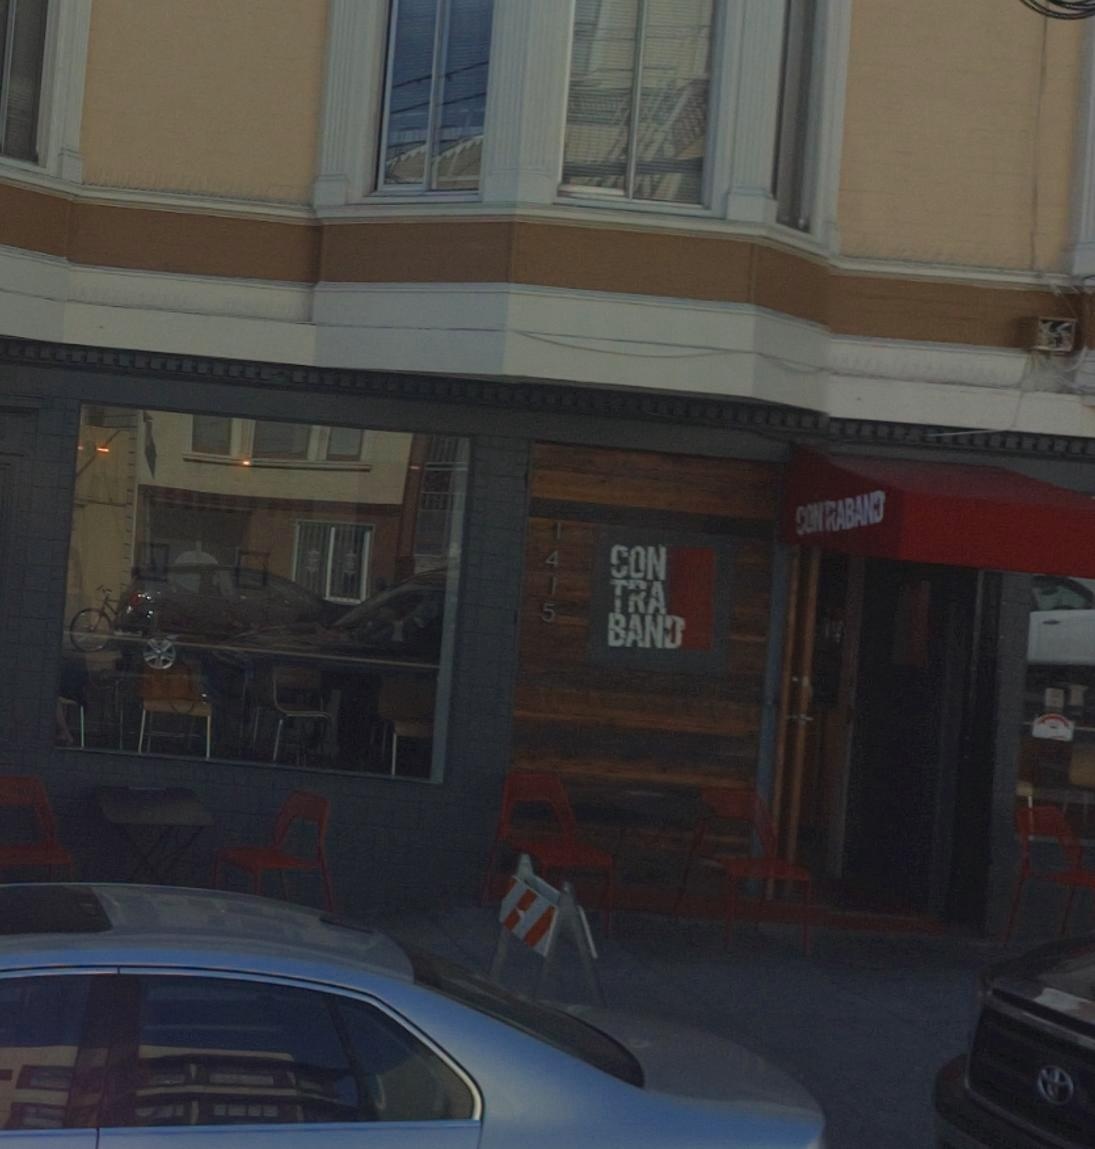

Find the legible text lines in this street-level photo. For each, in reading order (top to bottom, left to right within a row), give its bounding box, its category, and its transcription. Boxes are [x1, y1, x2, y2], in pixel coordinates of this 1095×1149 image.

[794, 487, 888, 537] BusinessName: CONTRABAND
[539, 519, 563, 626] StreetNumber: 1415
[608, 543, 668, 582] BusinessName: CON
[607, 577, 669, 616] BusinessName: TRA
[606, 611, 688, 651] BusinessName: BAND